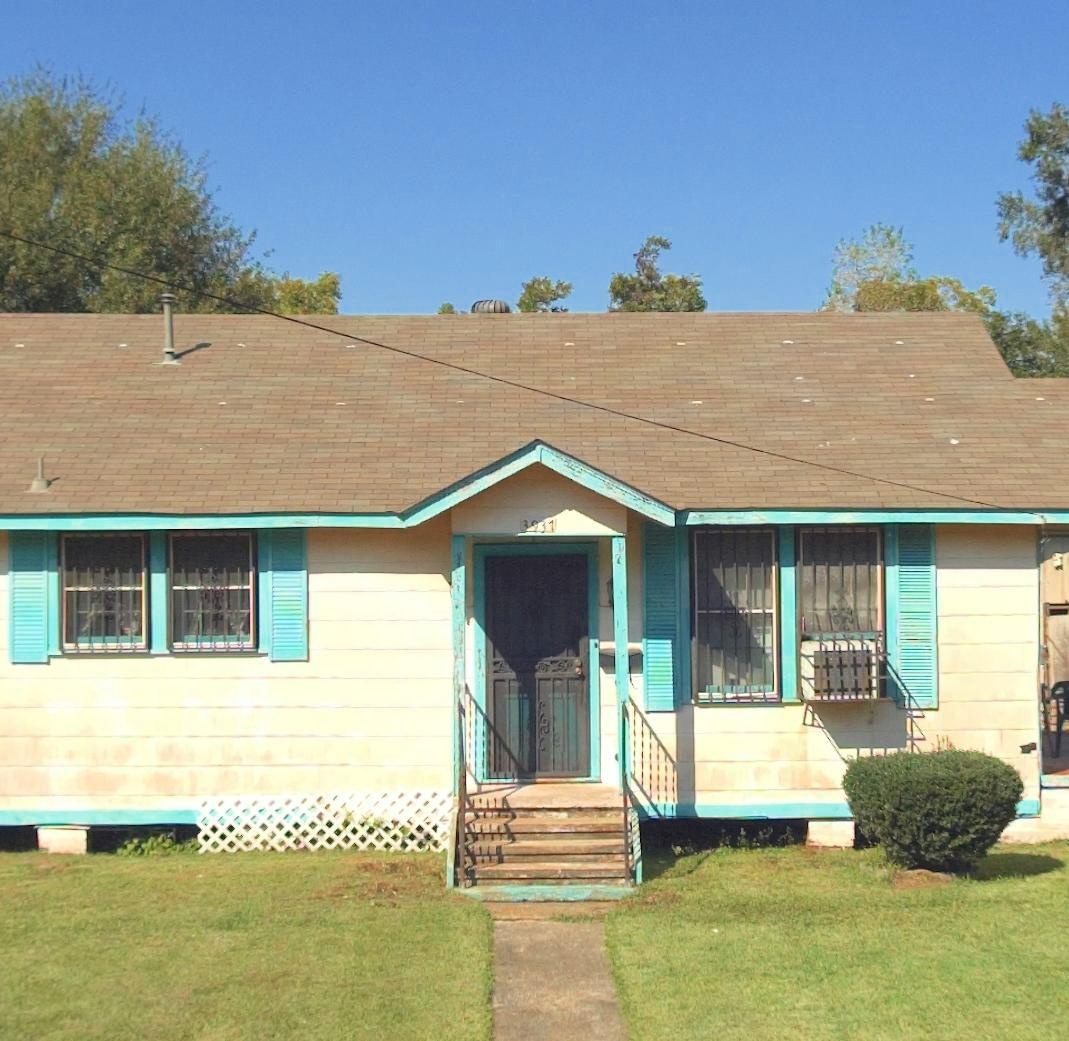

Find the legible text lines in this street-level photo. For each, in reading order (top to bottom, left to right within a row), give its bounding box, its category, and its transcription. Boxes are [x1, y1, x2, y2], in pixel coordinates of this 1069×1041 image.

[520, 518, 556, 534] StreetNumber: 3931